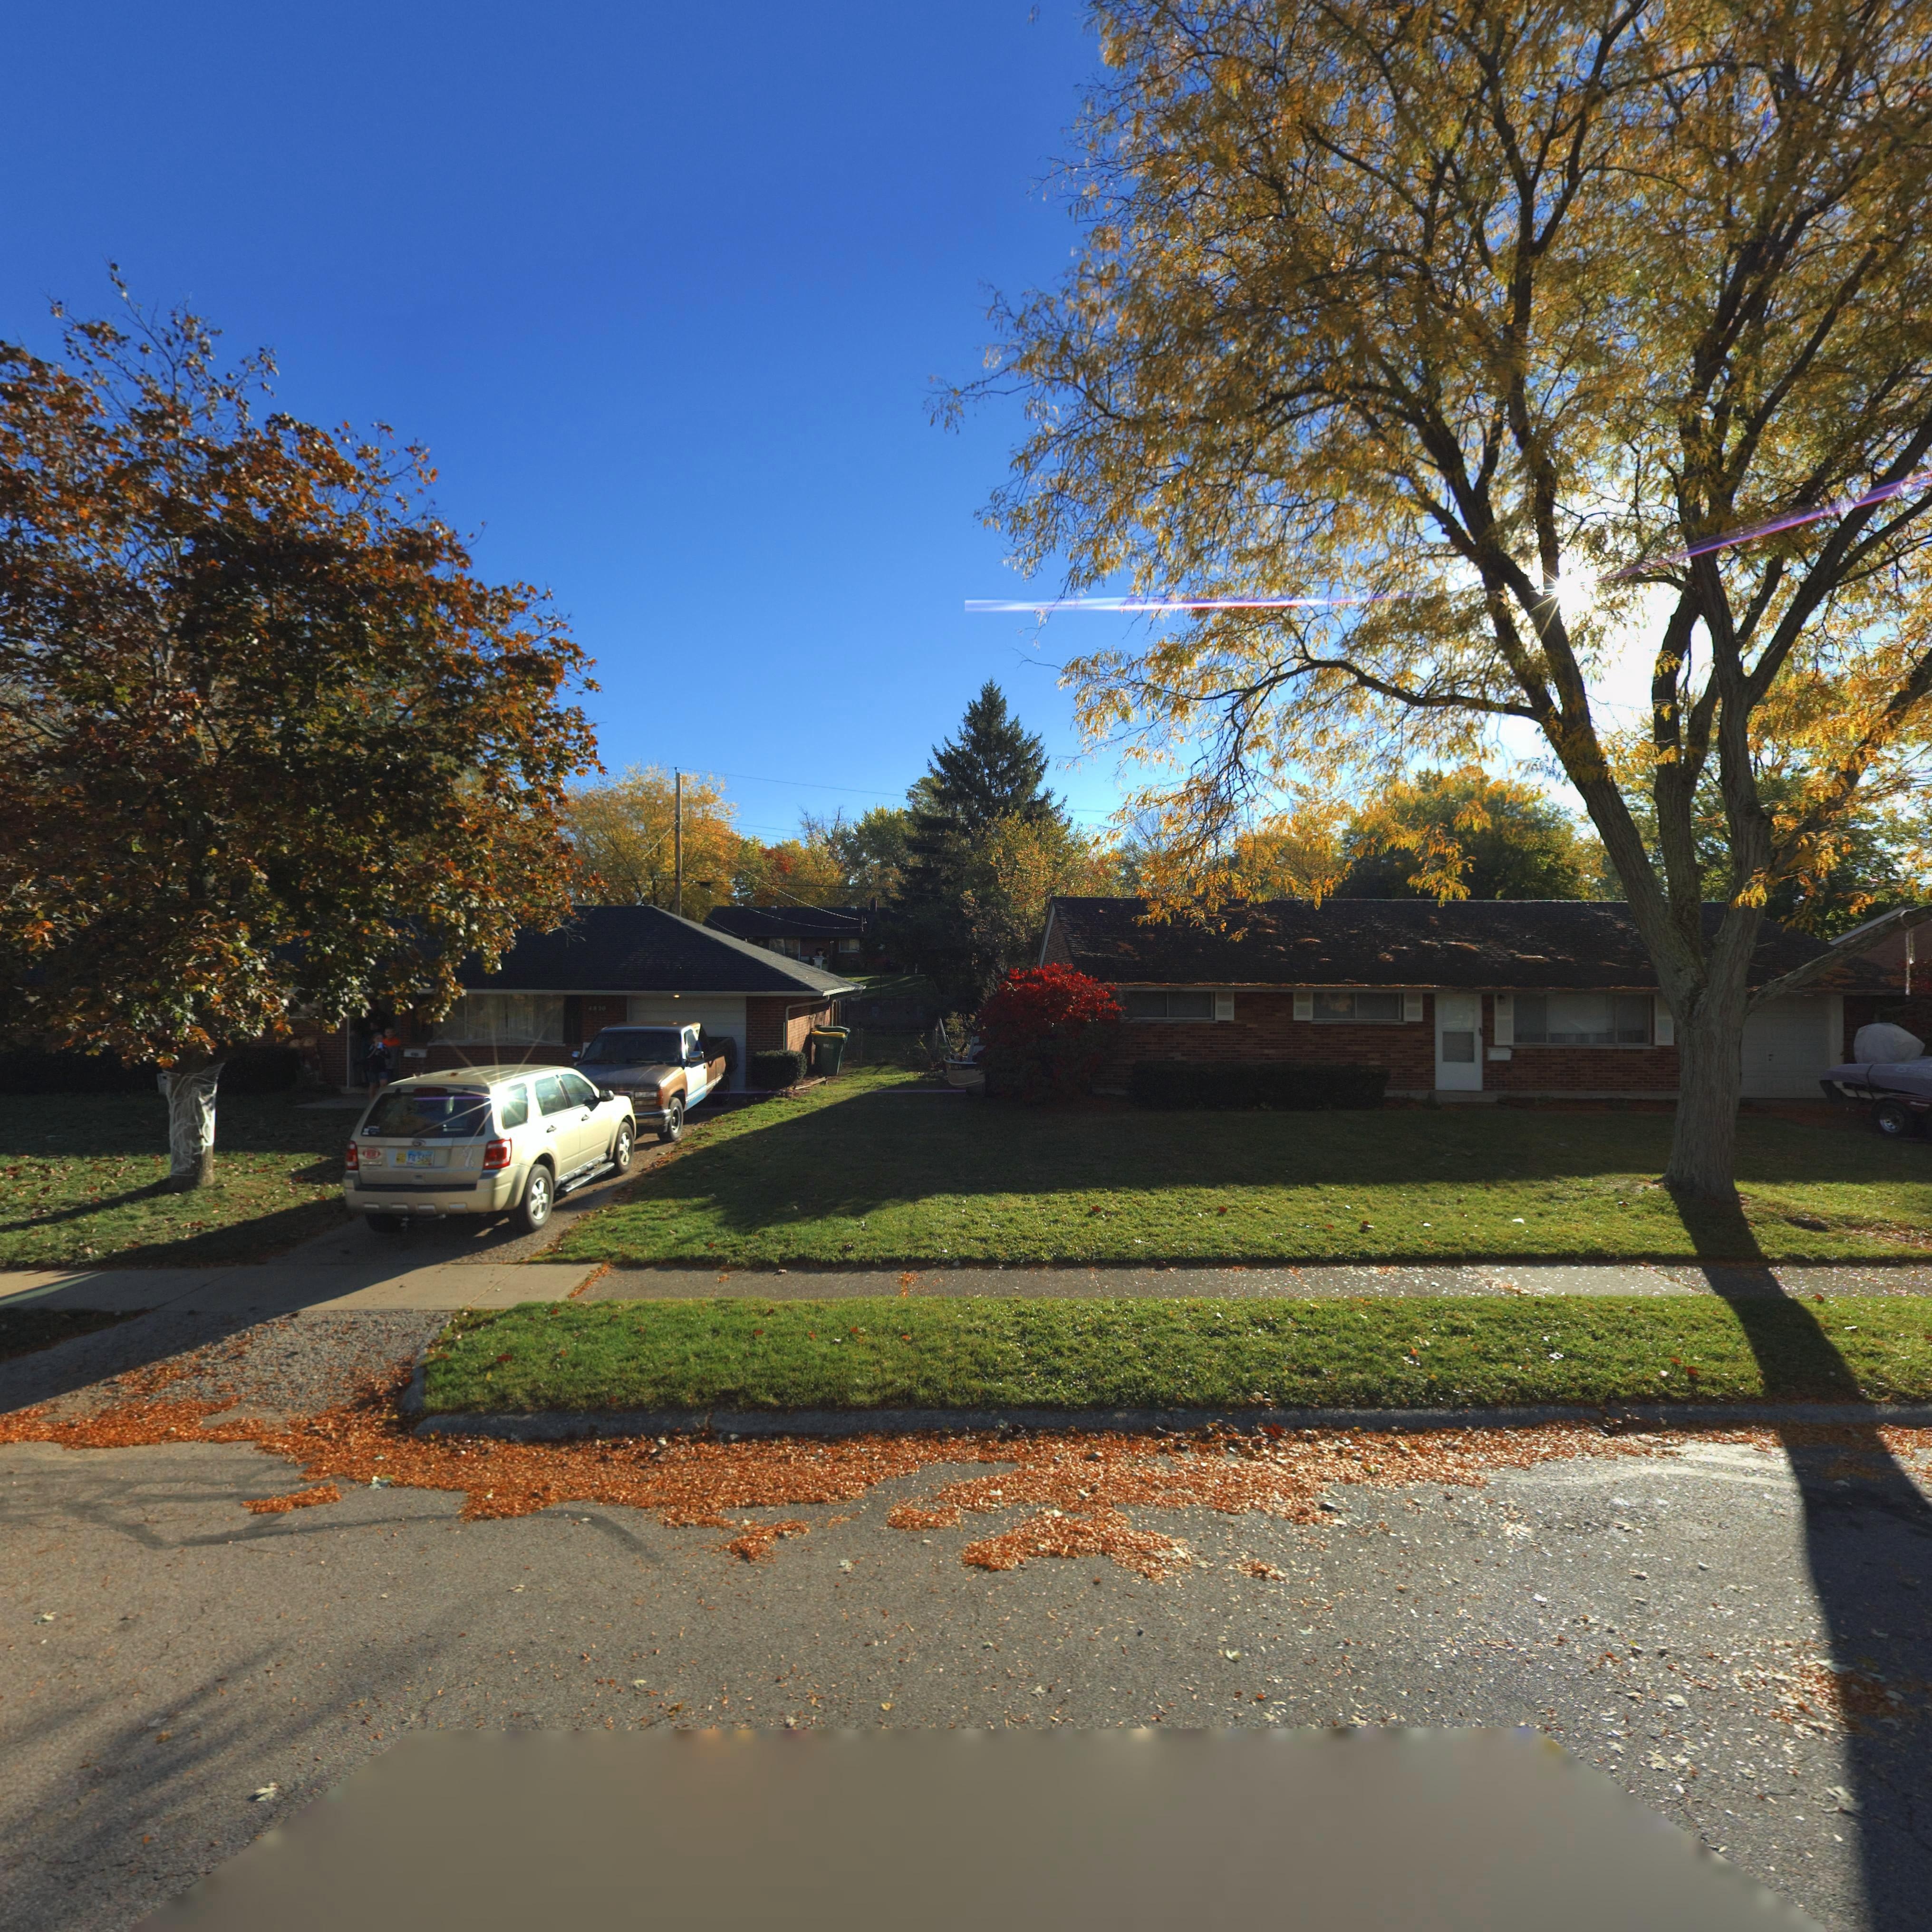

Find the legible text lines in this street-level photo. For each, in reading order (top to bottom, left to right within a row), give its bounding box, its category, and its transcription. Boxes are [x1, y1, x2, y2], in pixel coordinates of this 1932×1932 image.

[587, 1005, 607, 1013] StreetNumber: 4820